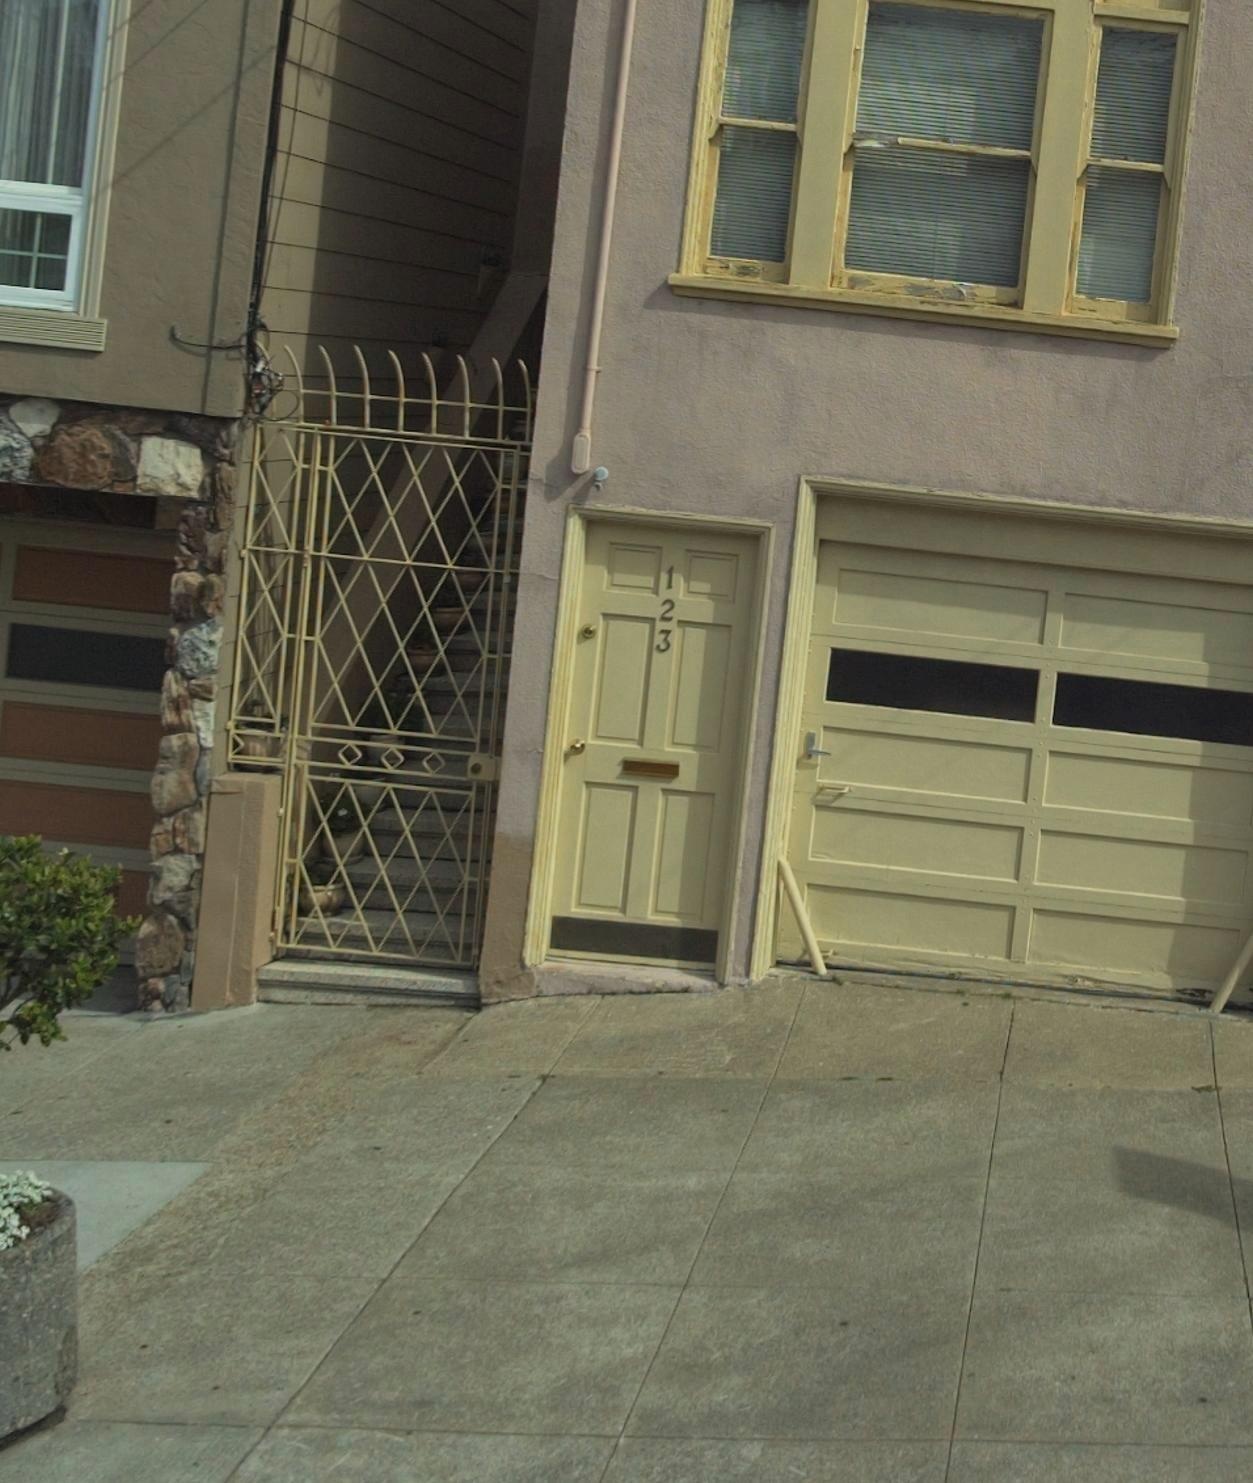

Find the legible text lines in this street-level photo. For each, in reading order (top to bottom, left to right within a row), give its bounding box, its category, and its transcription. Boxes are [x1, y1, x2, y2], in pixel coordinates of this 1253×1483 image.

[653, 564, 679, 655] StreetNumber: 123